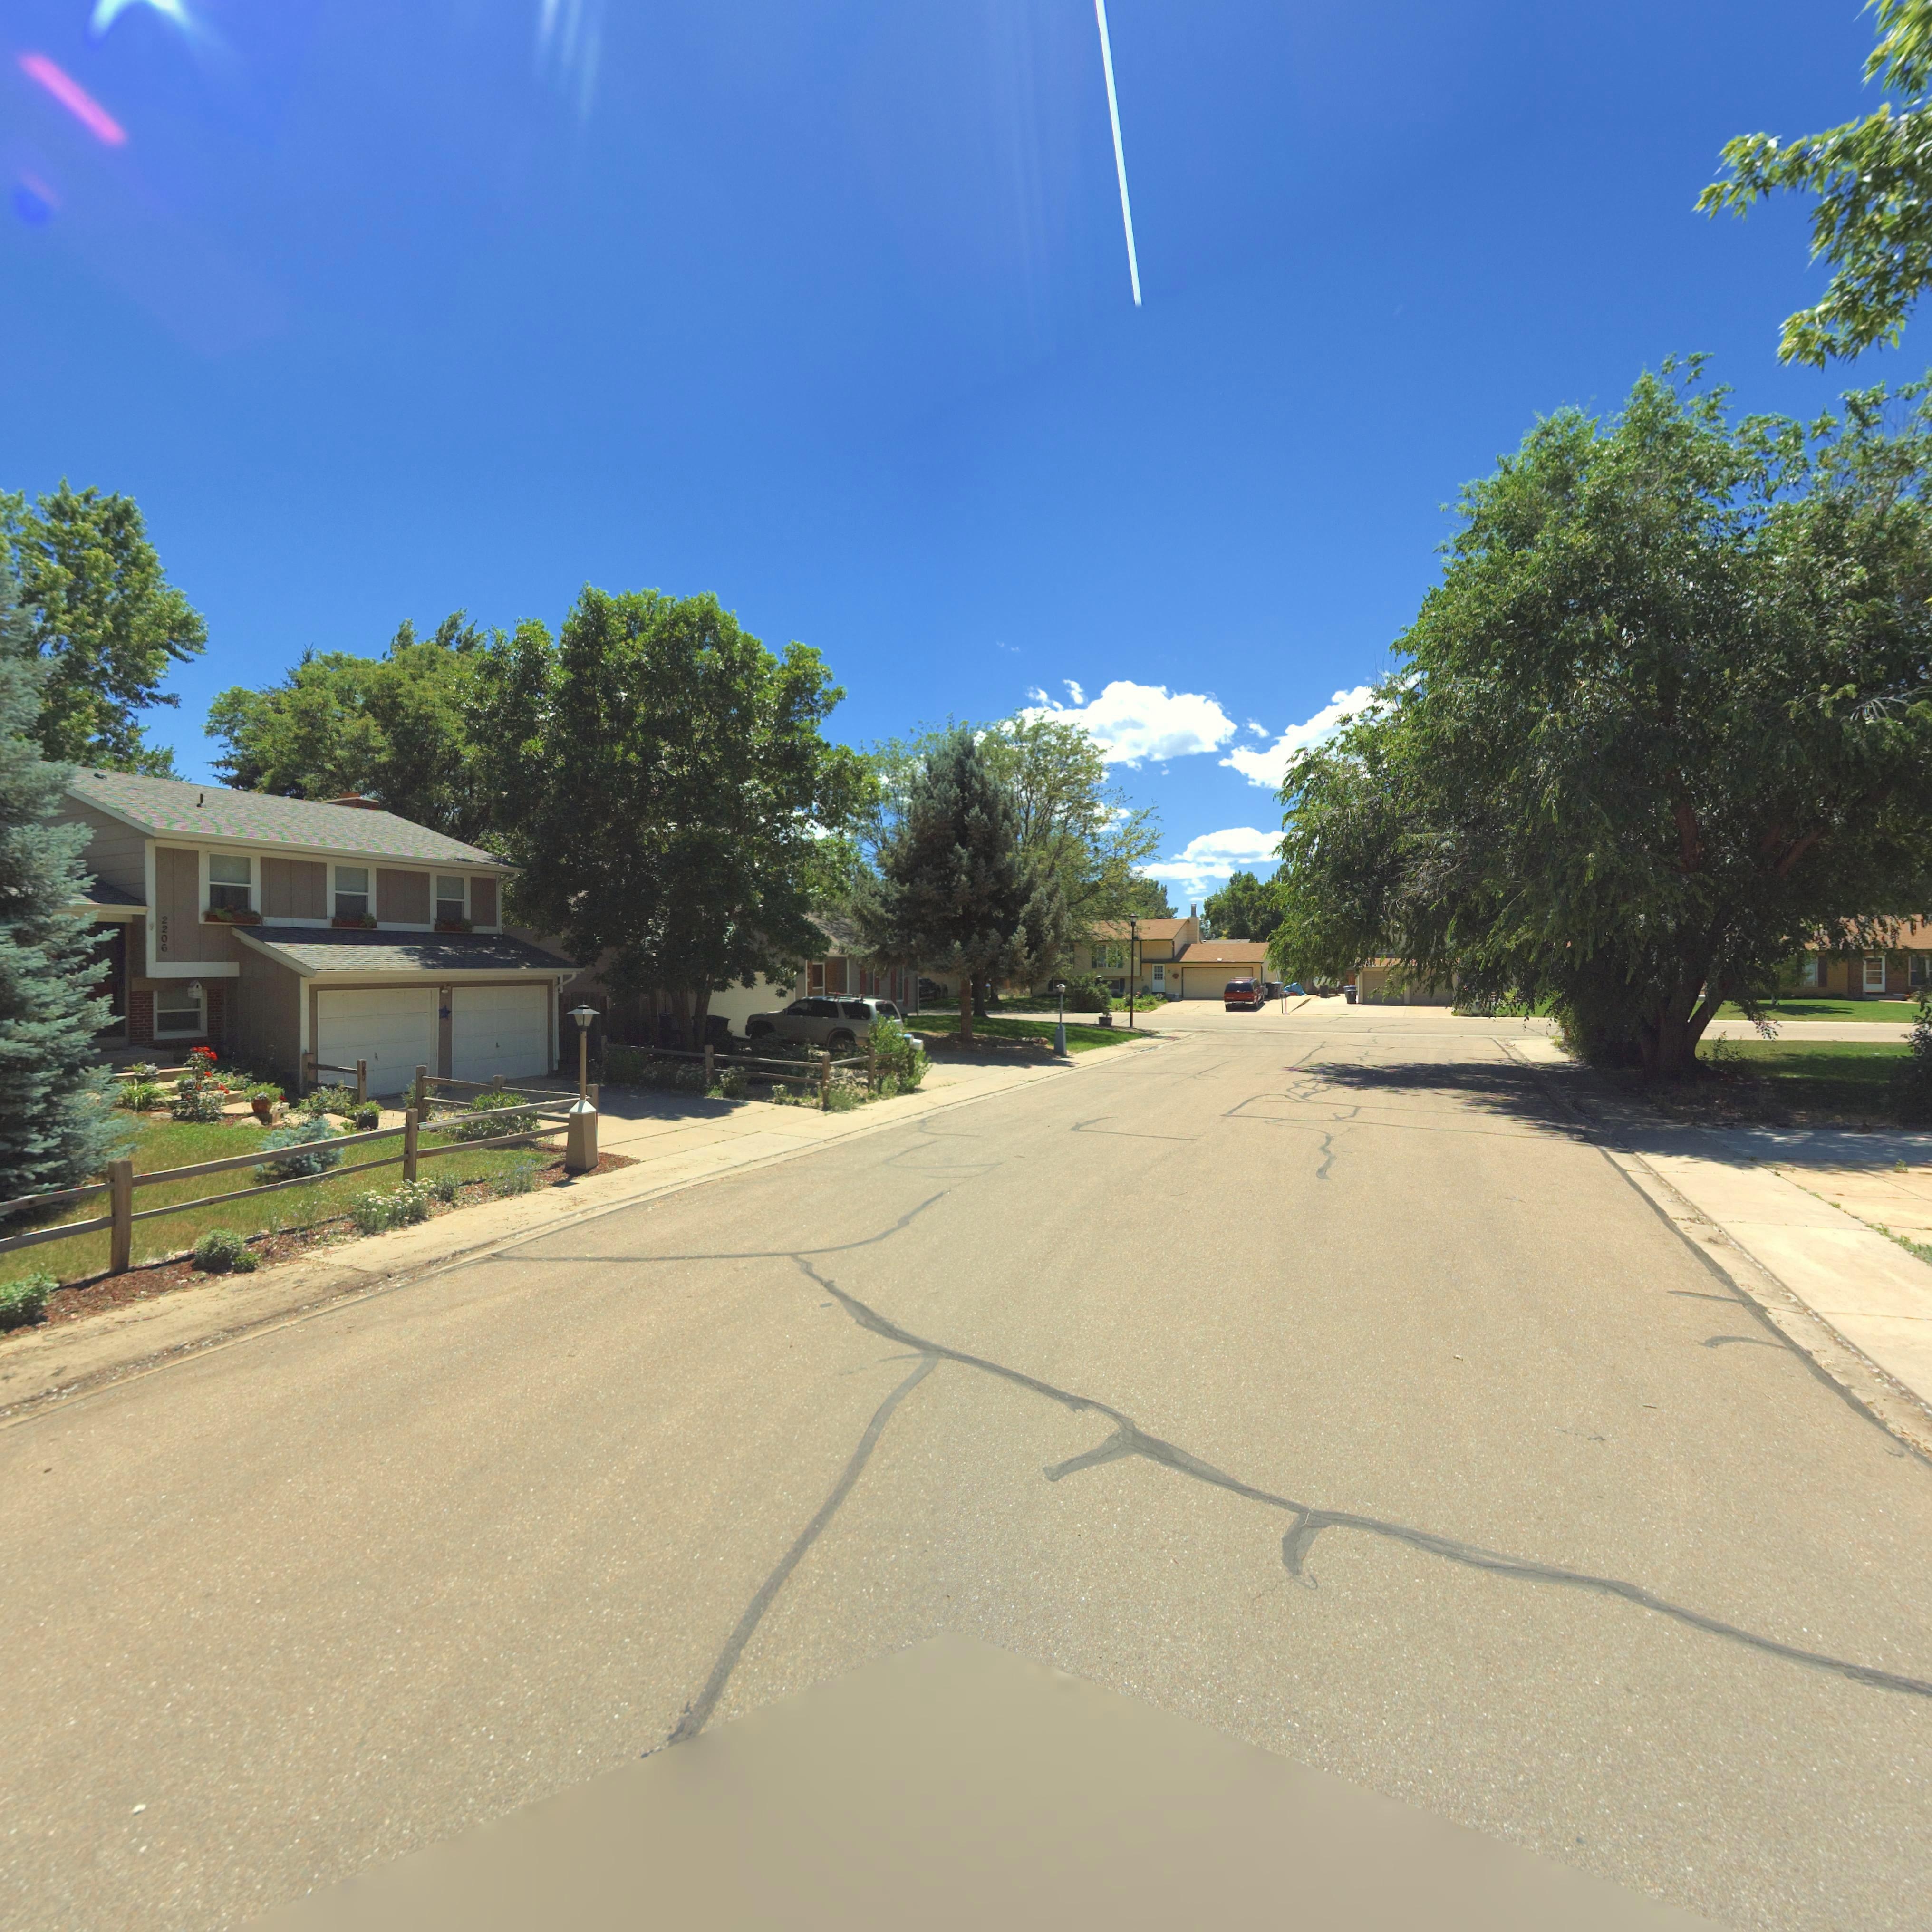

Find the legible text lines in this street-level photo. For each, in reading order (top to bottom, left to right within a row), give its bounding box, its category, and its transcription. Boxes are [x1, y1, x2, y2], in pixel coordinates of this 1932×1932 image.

[160, 916, 168, 952] StreetNumber: 2206